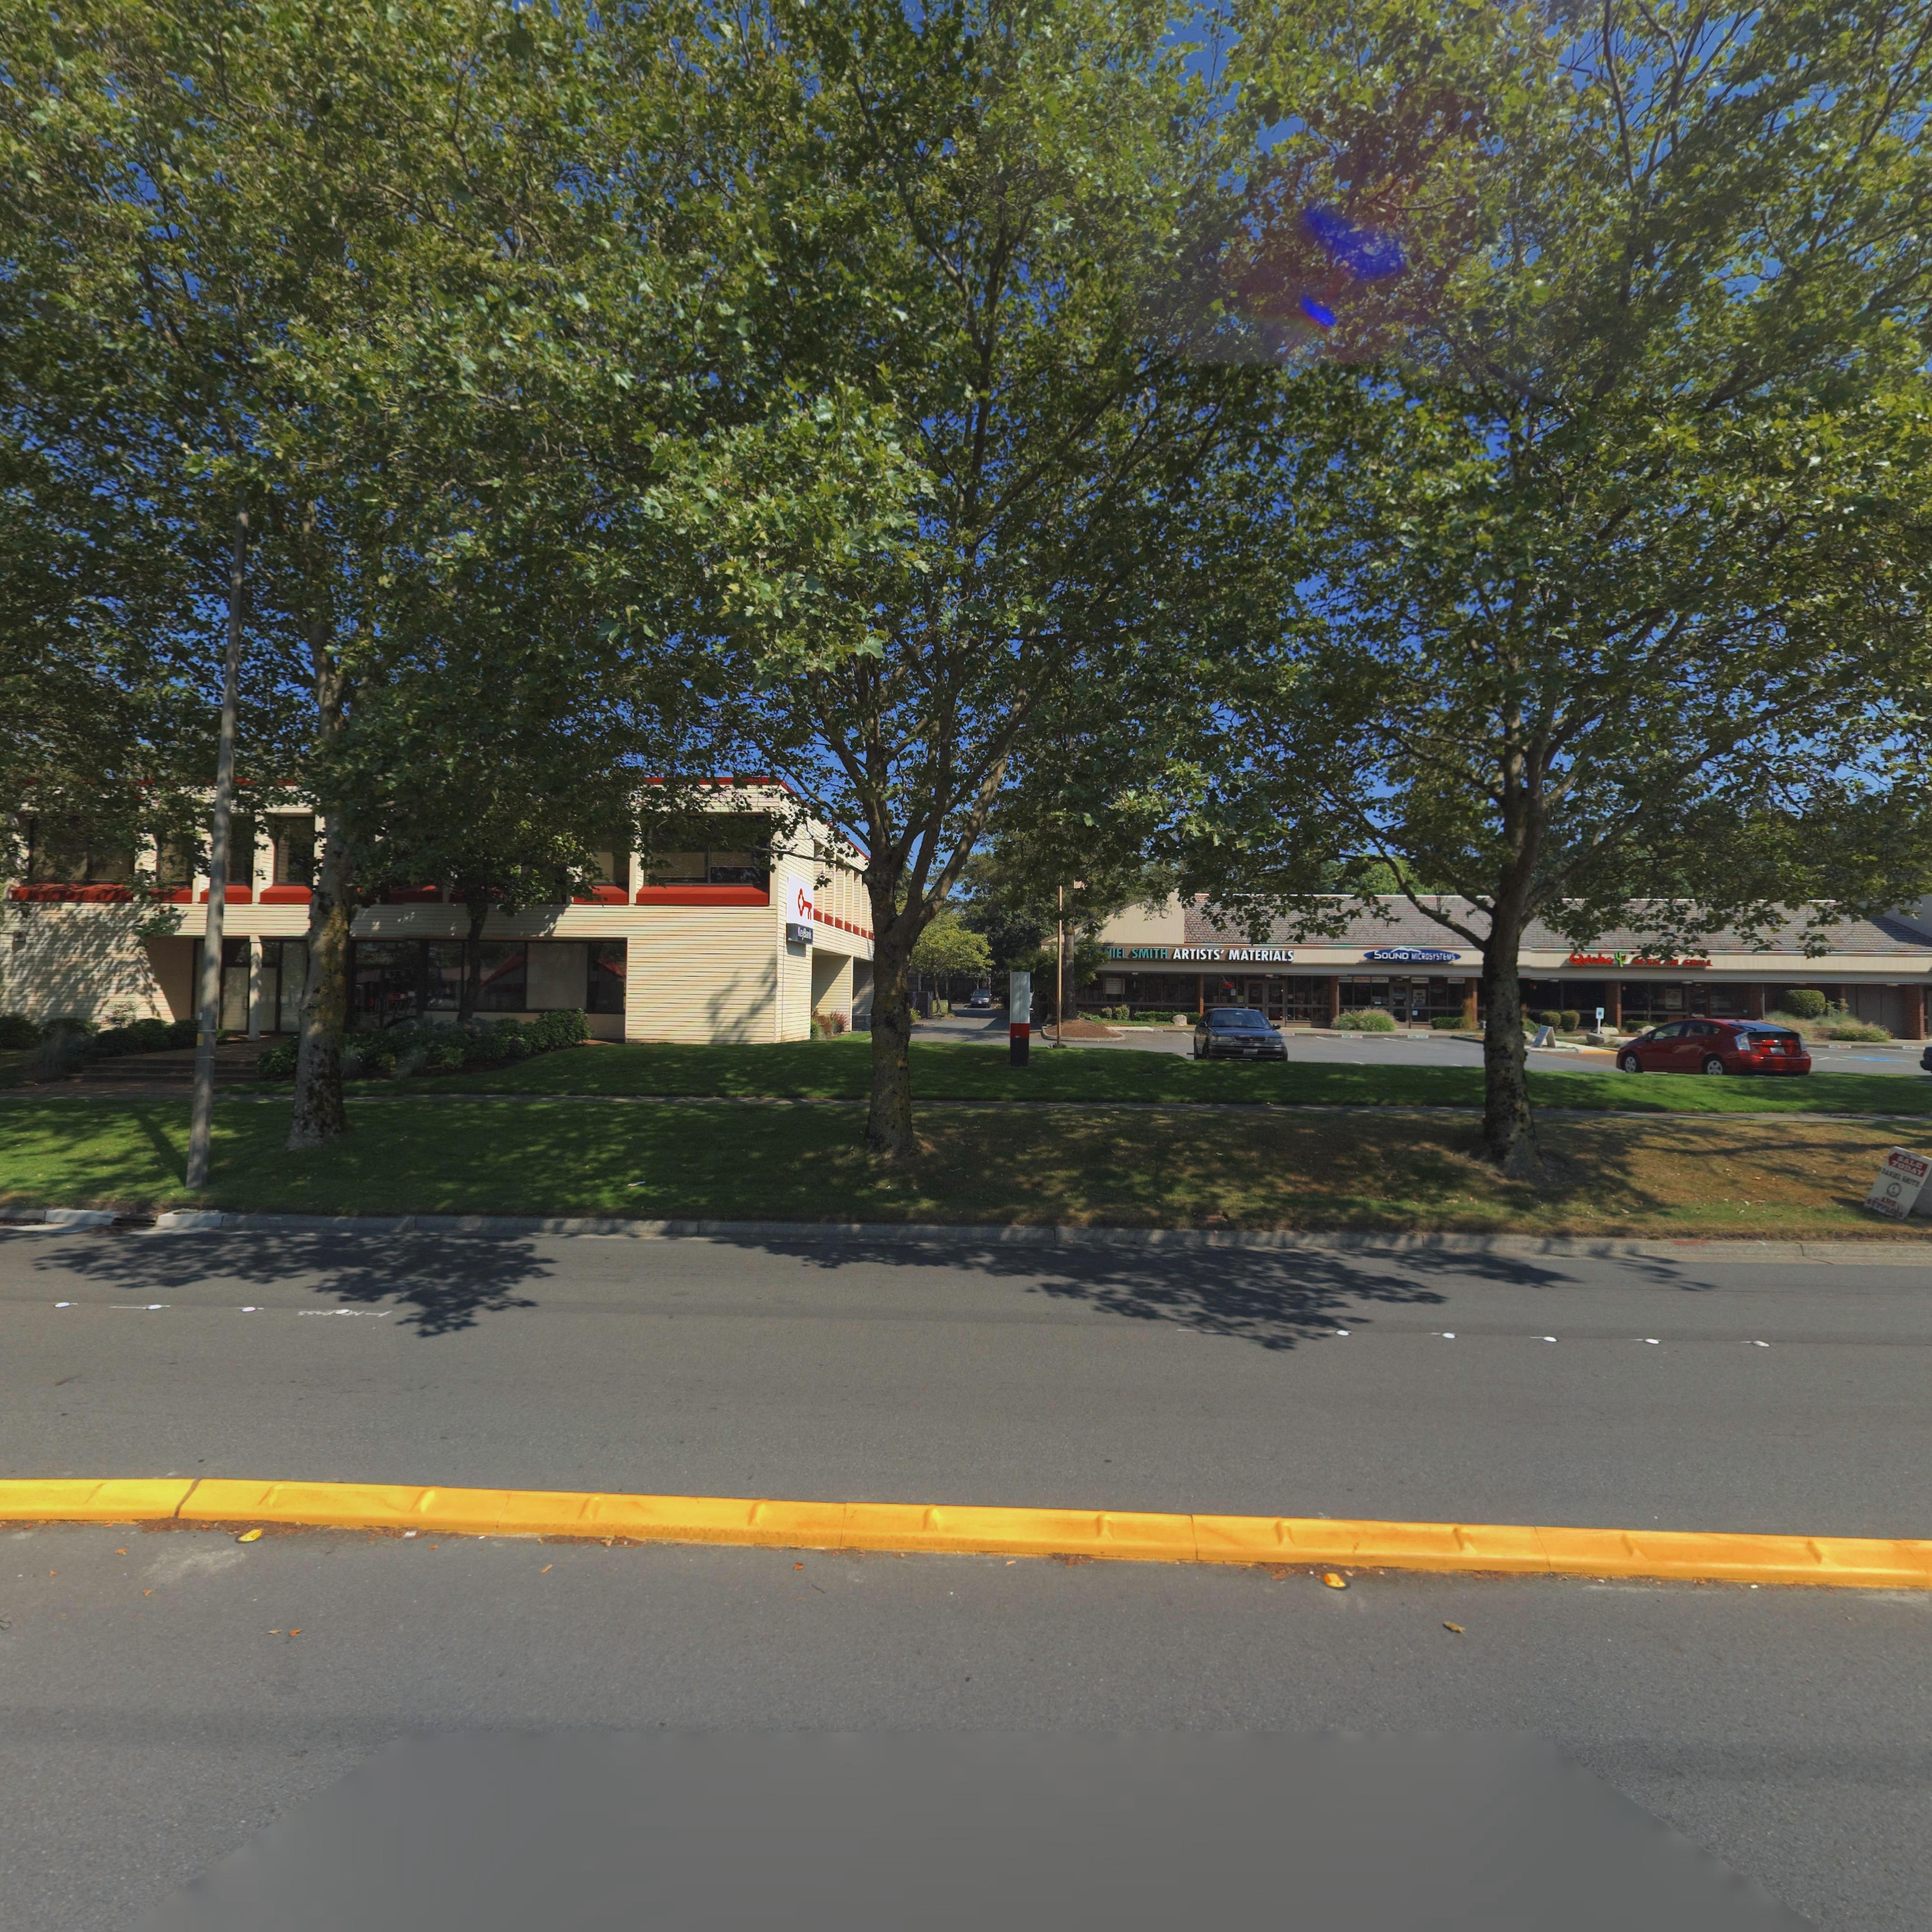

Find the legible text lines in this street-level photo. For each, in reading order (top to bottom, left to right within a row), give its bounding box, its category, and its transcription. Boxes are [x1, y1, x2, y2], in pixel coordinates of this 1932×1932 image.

[1128, 947, 1293, 961] BusinessName: ARTISTS MATERIALS
[1373, 950, 1455, 960] BusinessName: SOUND MICROSYSYTEMS
[1568, 951, 1613, 967] BusinessName: Qdoba